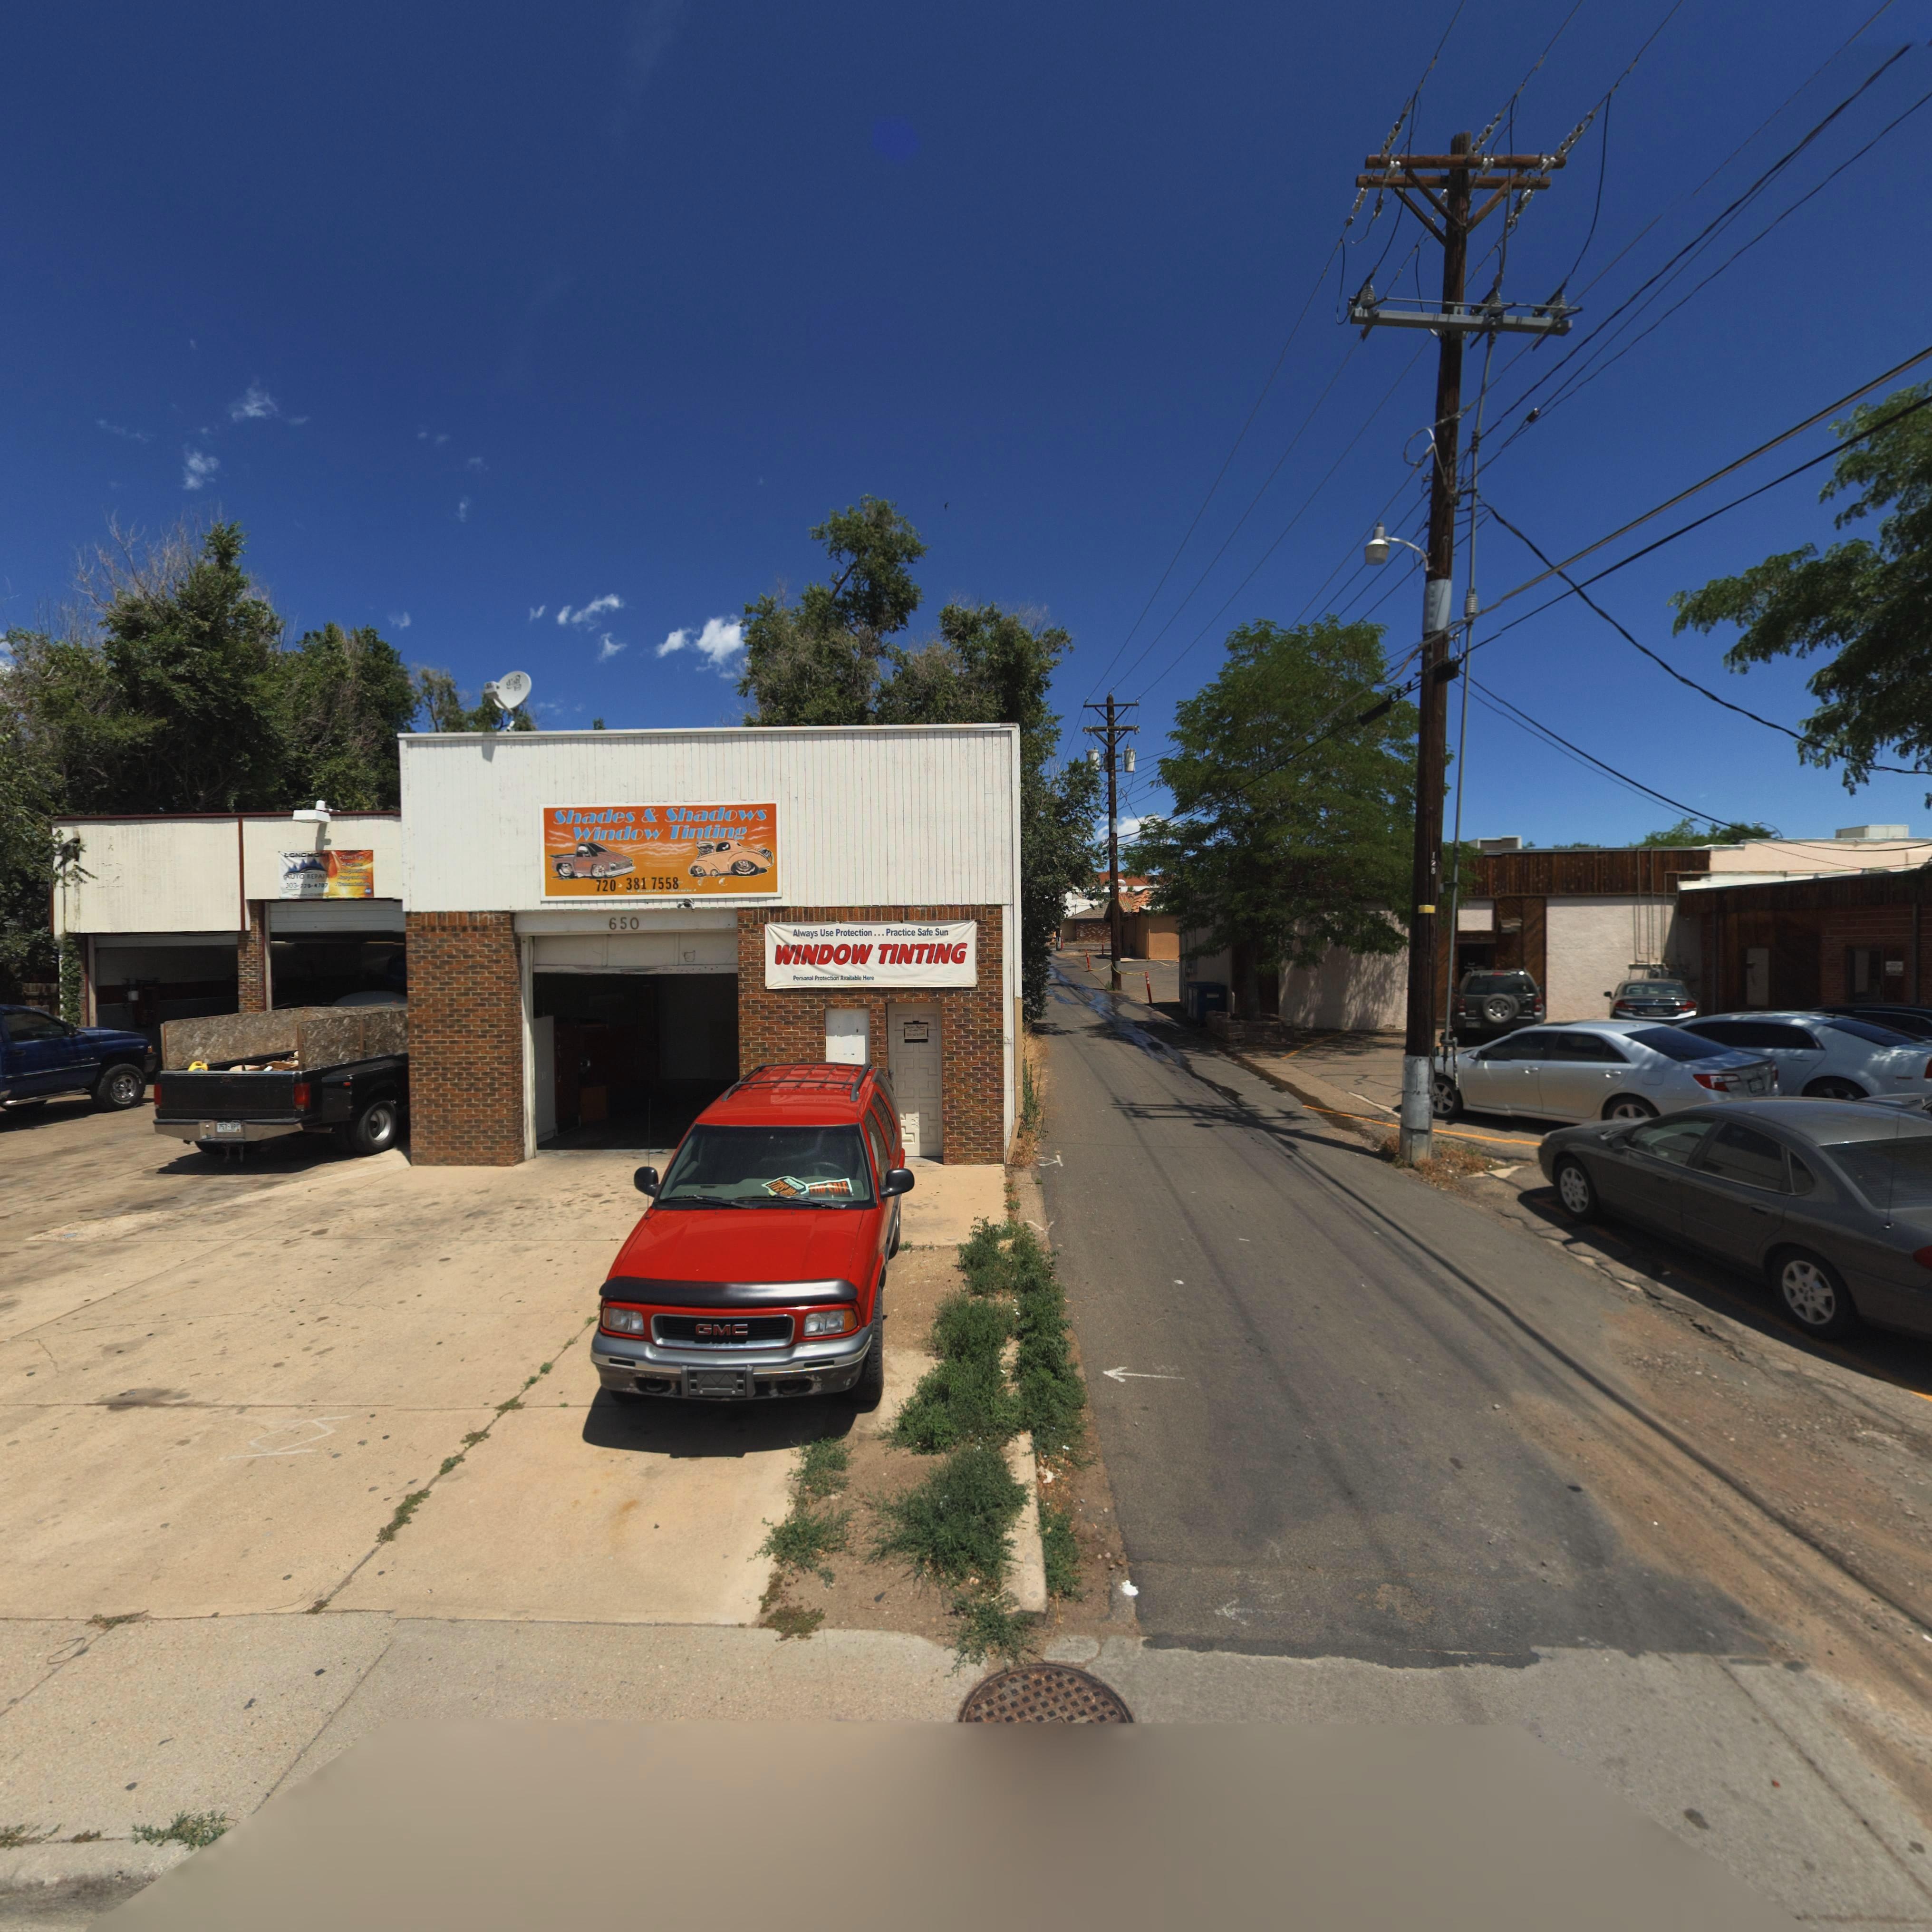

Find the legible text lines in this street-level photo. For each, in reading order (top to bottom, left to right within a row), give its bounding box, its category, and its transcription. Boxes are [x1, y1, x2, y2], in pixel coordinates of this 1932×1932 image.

[551, 806, 768, 825] BusinessName: Shades & Shadows
[284, 851, 331, 858] BusinessName: LONGMONT
[282, 873, 329, 881] BusinessName: AUTO REPAIR
[609, 916, 639, 930] StreetNumber: 650